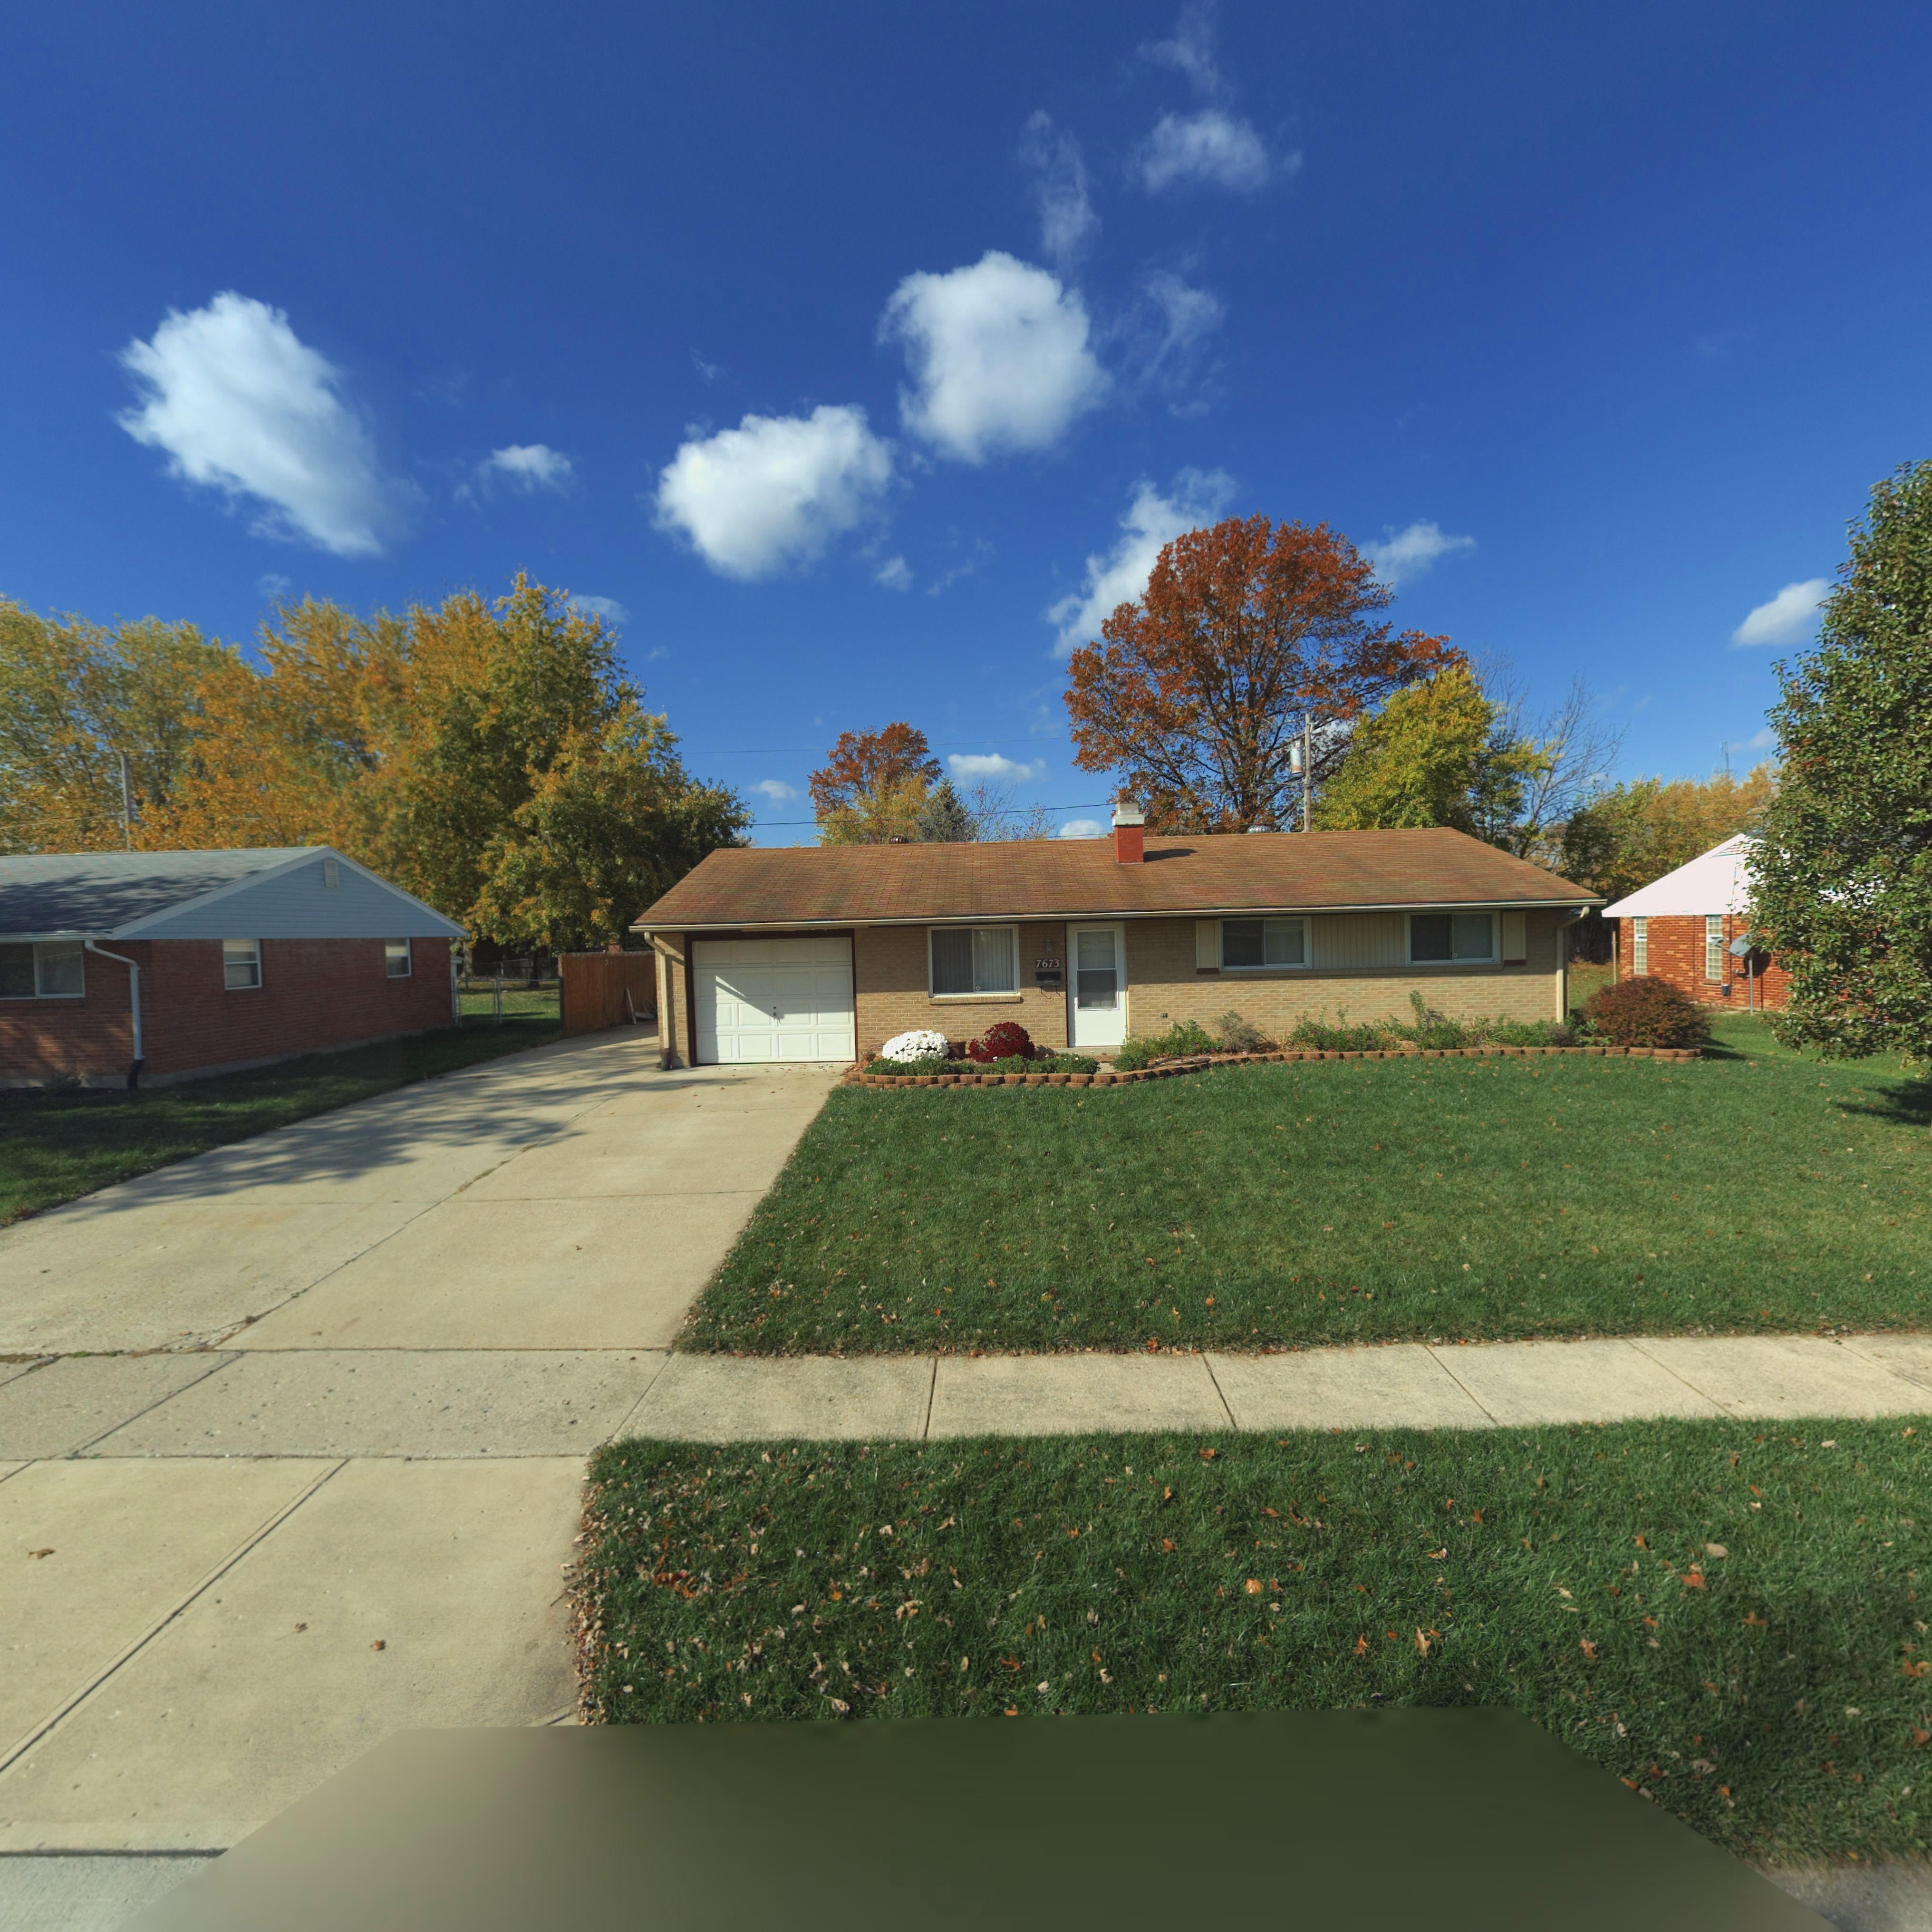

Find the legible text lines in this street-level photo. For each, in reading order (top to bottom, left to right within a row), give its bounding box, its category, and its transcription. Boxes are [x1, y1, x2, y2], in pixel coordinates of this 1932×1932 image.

[1035, 958, 1061, 969] StreetNumber: 7673